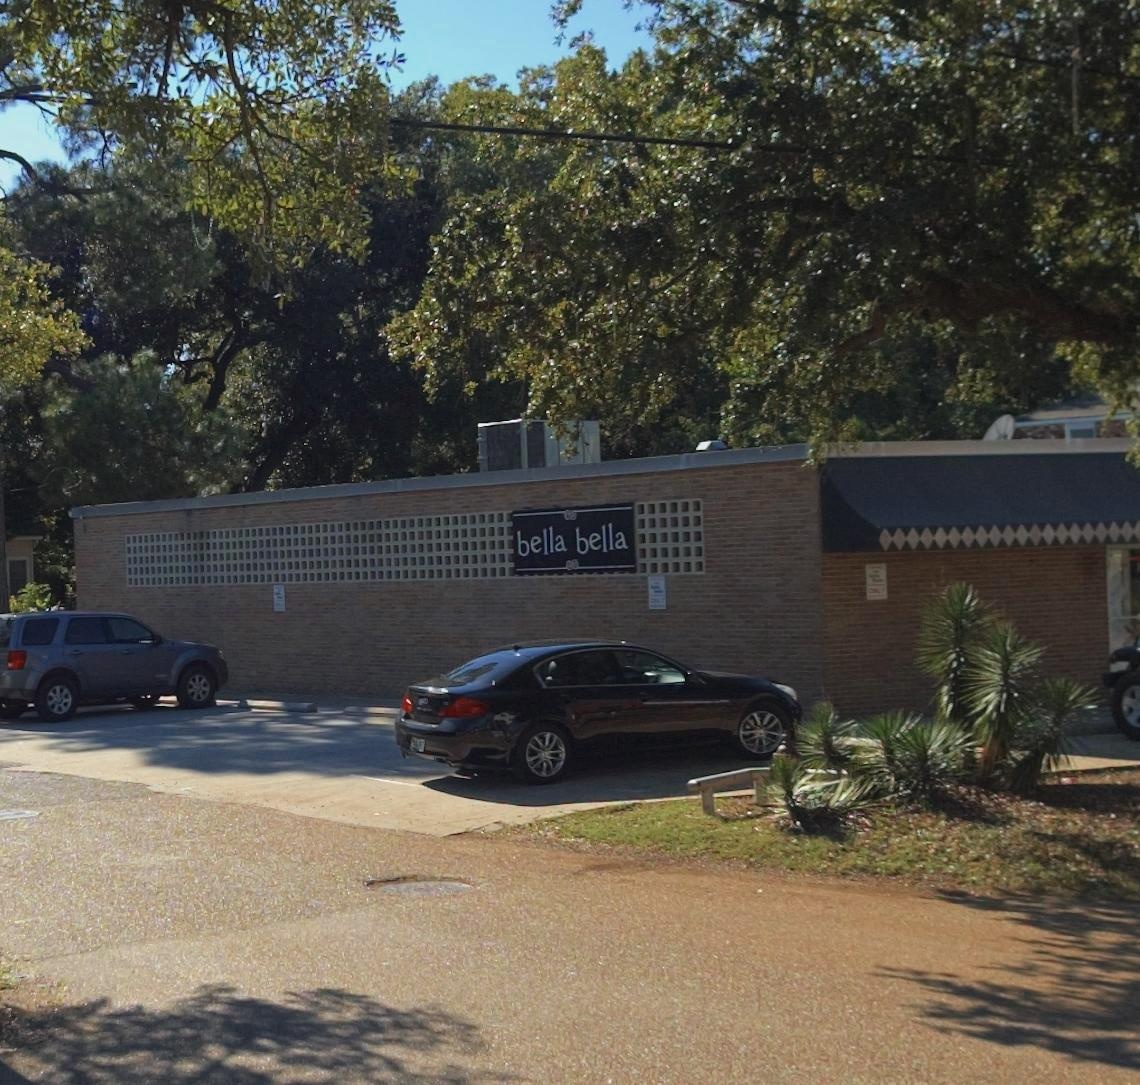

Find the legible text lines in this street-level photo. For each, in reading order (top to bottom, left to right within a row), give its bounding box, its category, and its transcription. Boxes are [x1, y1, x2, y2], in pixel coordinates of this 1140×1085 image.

[515, 521, 631, 558] BusinessName: bella bella